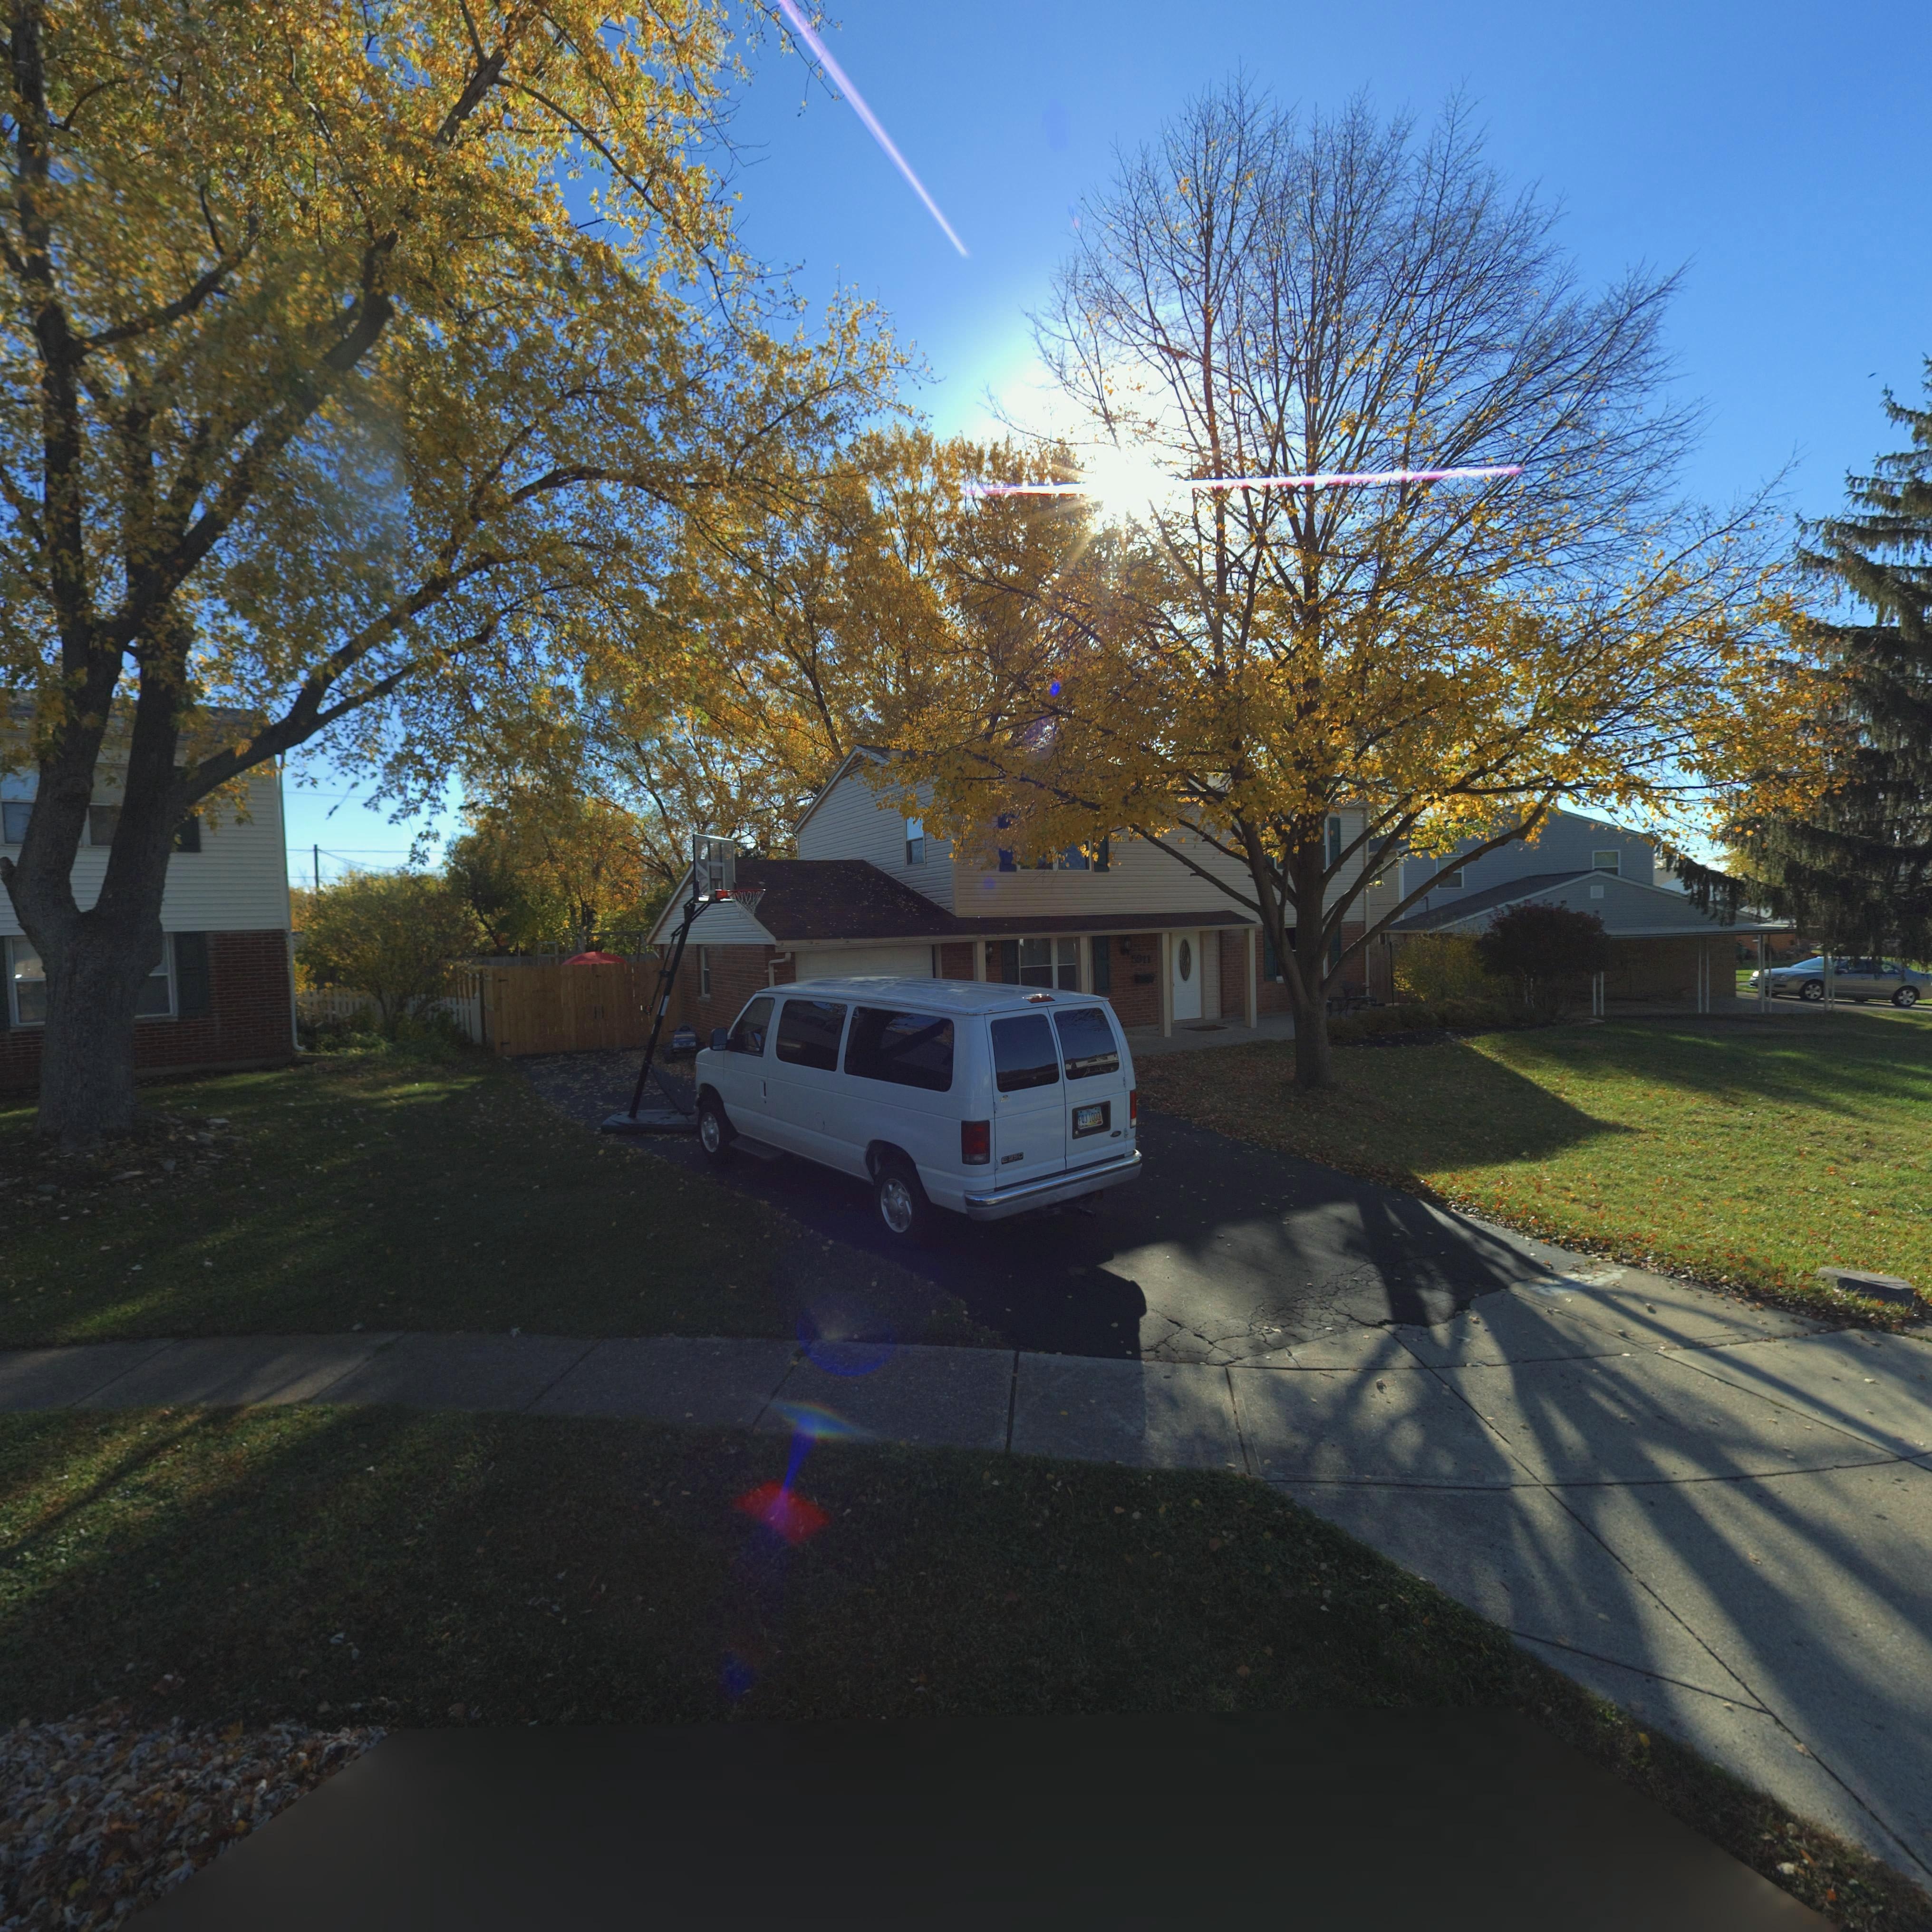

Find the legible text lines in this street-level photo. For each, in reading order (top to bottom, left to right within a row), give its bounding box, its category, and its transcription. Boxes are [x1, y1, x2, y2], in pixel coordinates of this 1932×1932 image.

[1130, 954, 1151, 965] StreetNumber: 5911